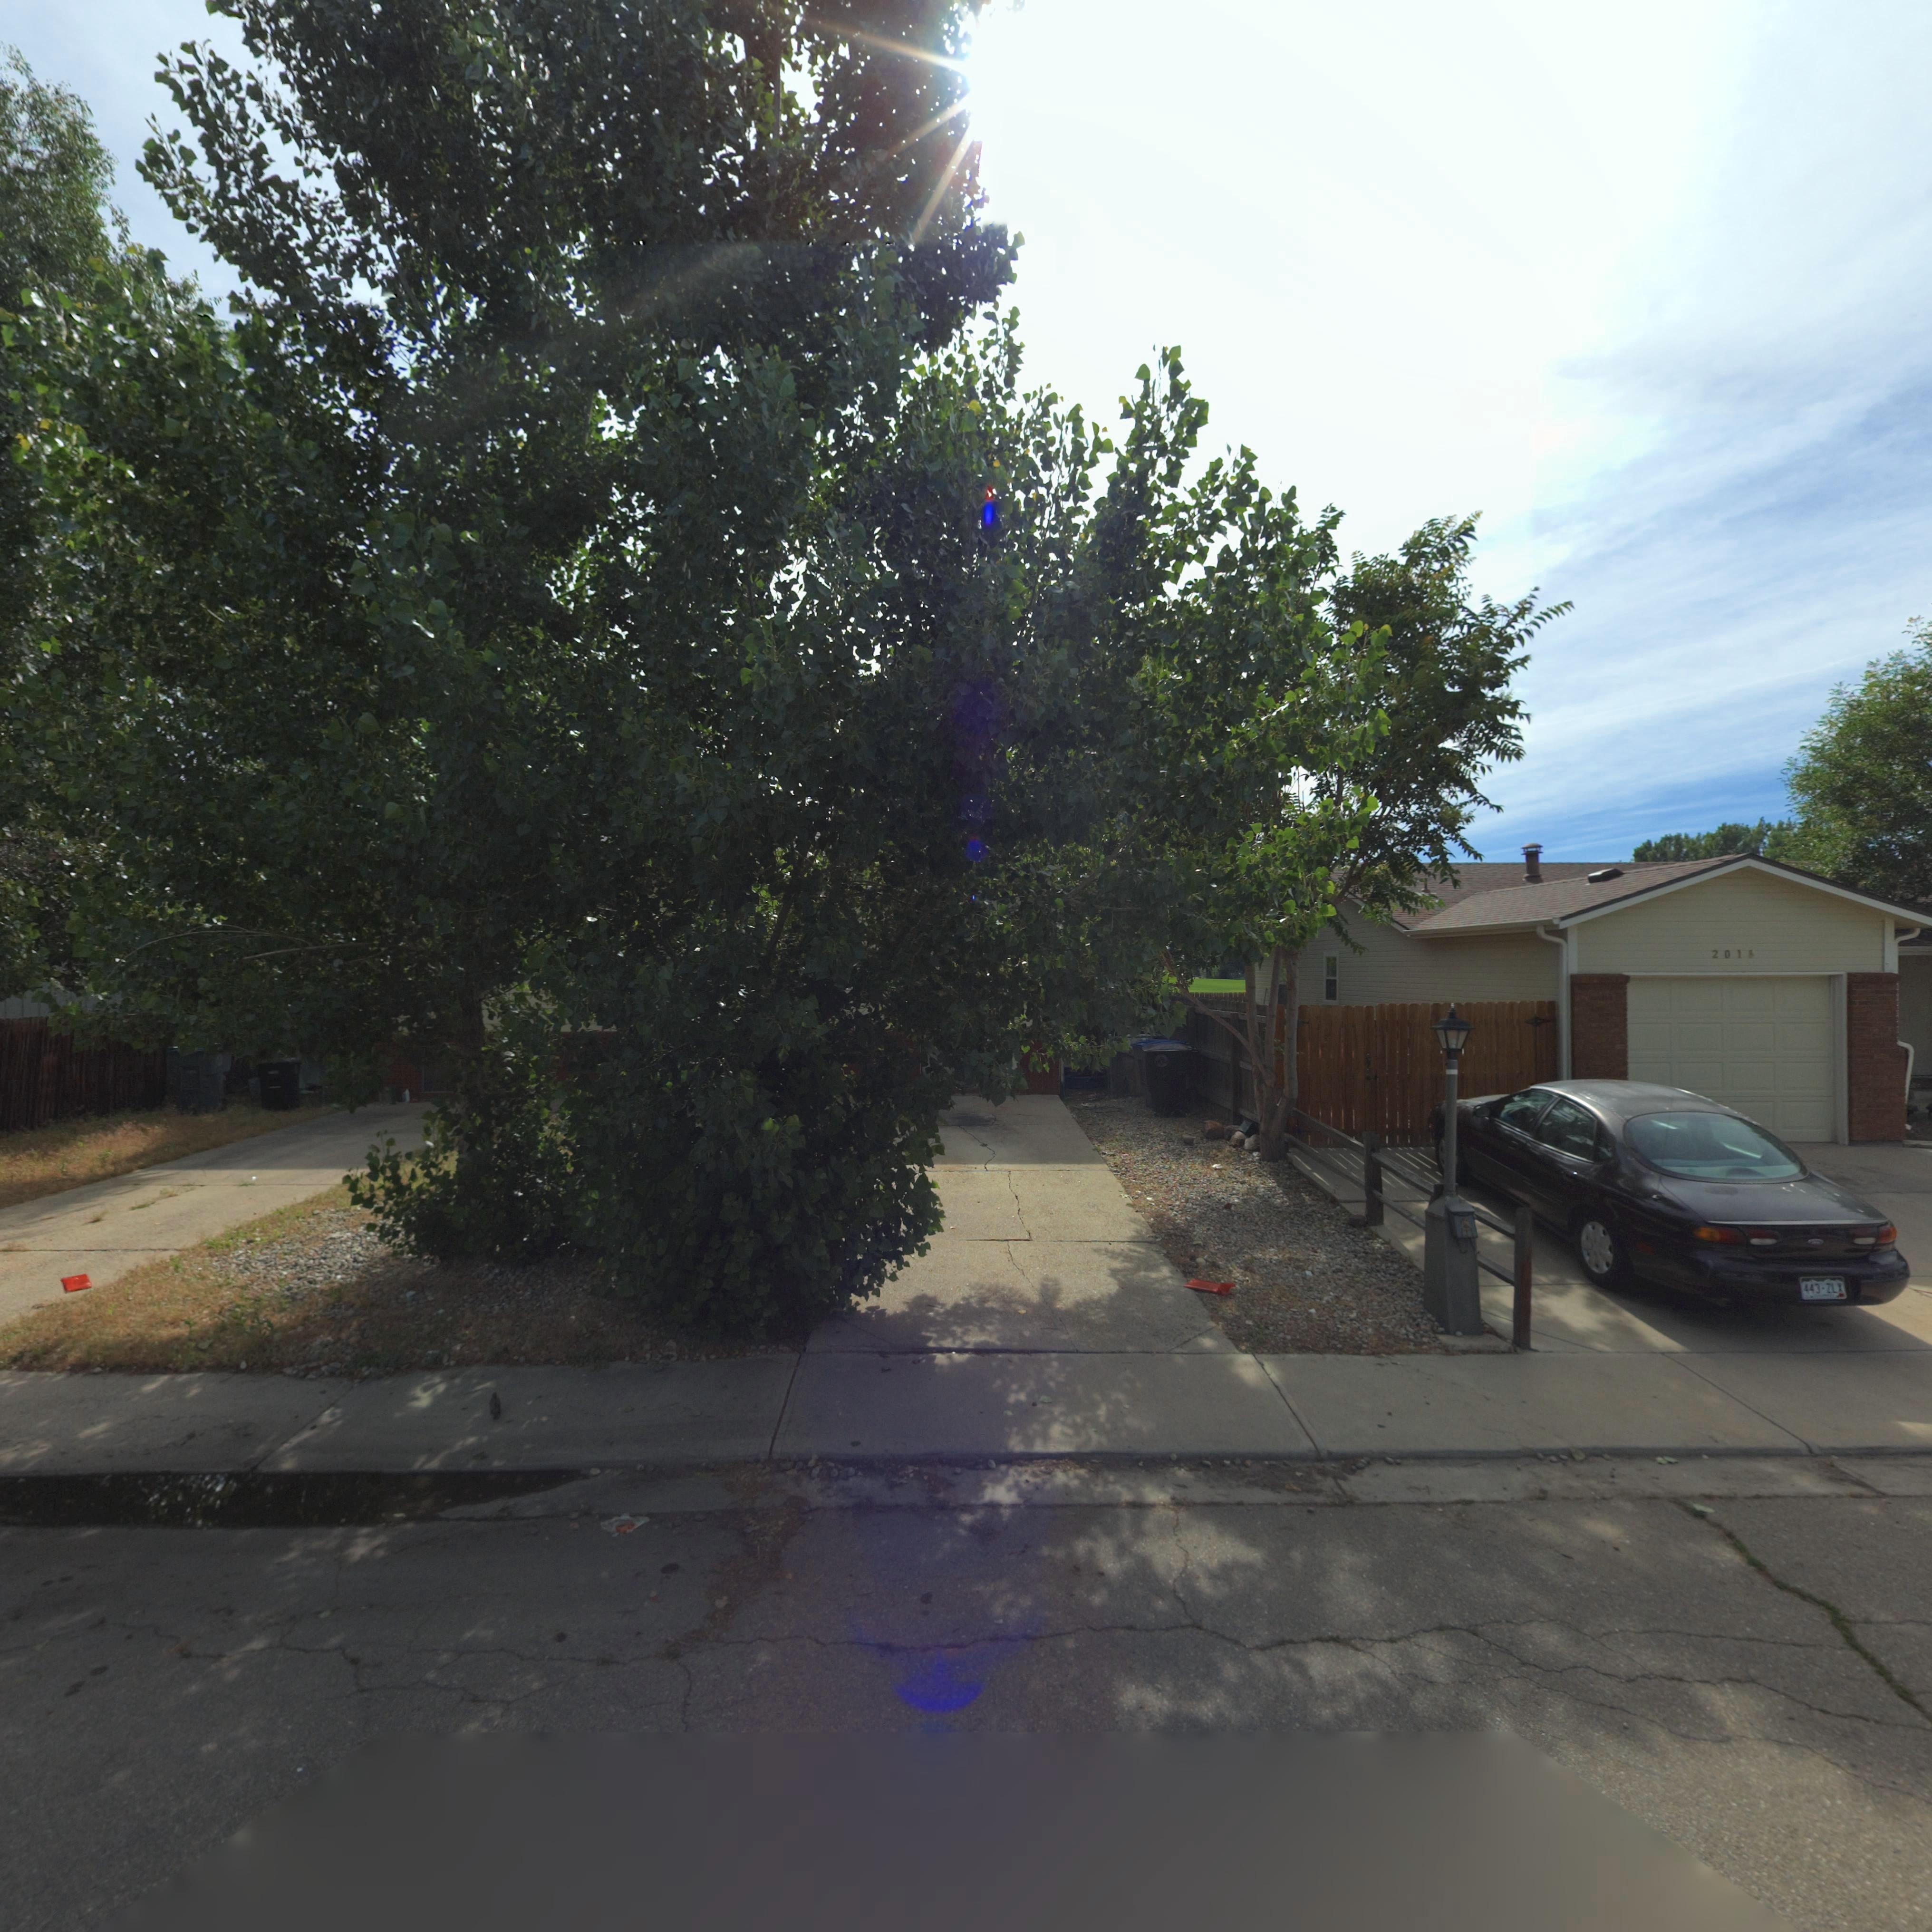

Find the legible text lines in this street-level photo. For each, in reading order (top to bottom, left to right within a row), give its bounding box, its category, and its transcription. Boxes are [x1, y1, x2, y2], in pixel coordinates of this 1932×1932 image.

[1711, 949, 1754, 959] StreetNumber: 2018